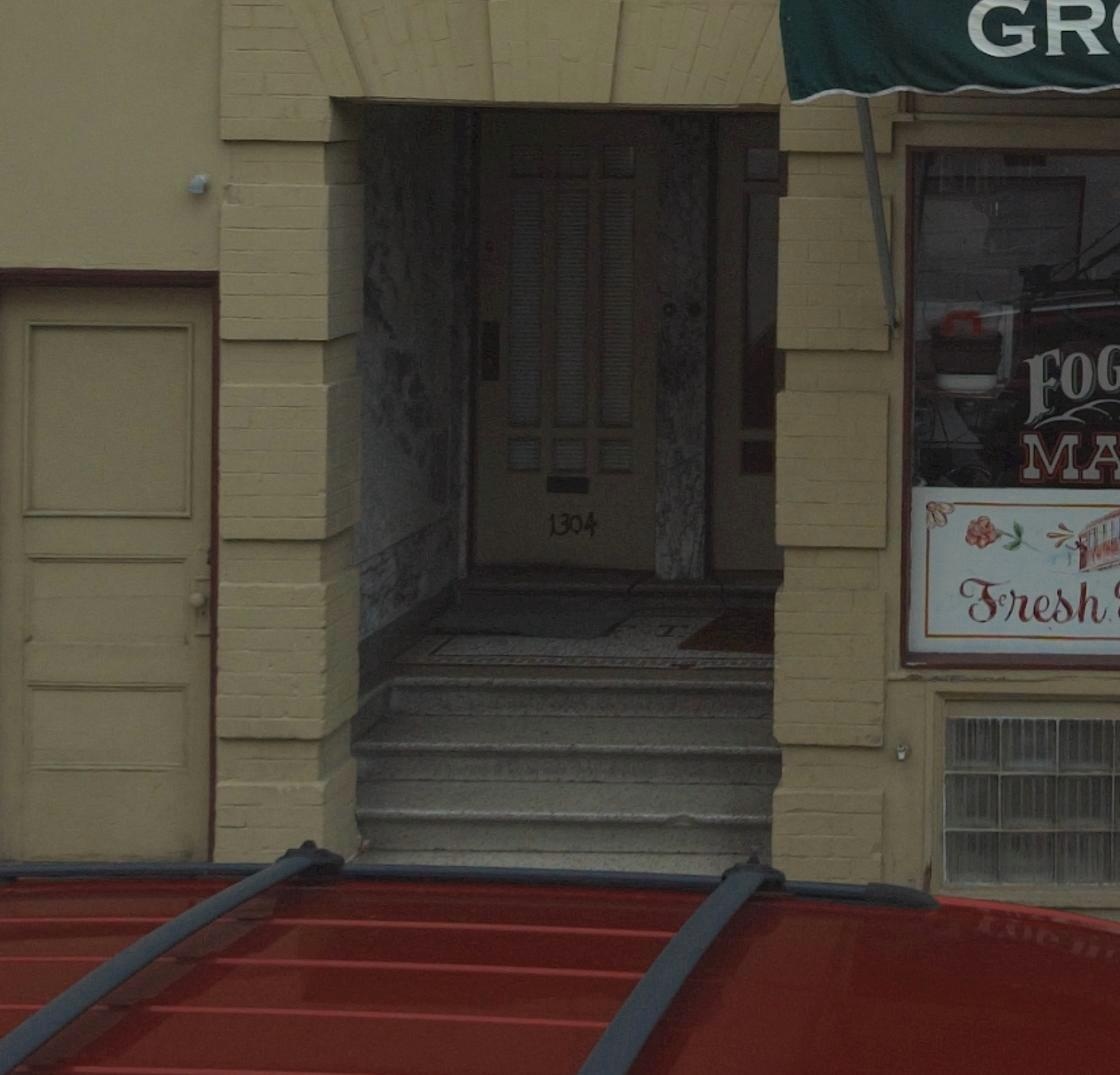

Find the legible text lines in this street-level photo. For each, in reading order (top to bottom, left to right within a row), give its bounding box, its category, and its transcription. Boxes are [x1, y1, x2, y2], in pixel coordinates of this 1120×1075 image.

[1040, 1, 1114, 63] None: R
[1016, 336, 1103, 433] BusinessName: Fo
[1016, 428, 1085, 488] BusinessName: M
[545, 509, 600, 541] StreetNumber: 1304
[960, 570, 1116, 627] None: Fresh